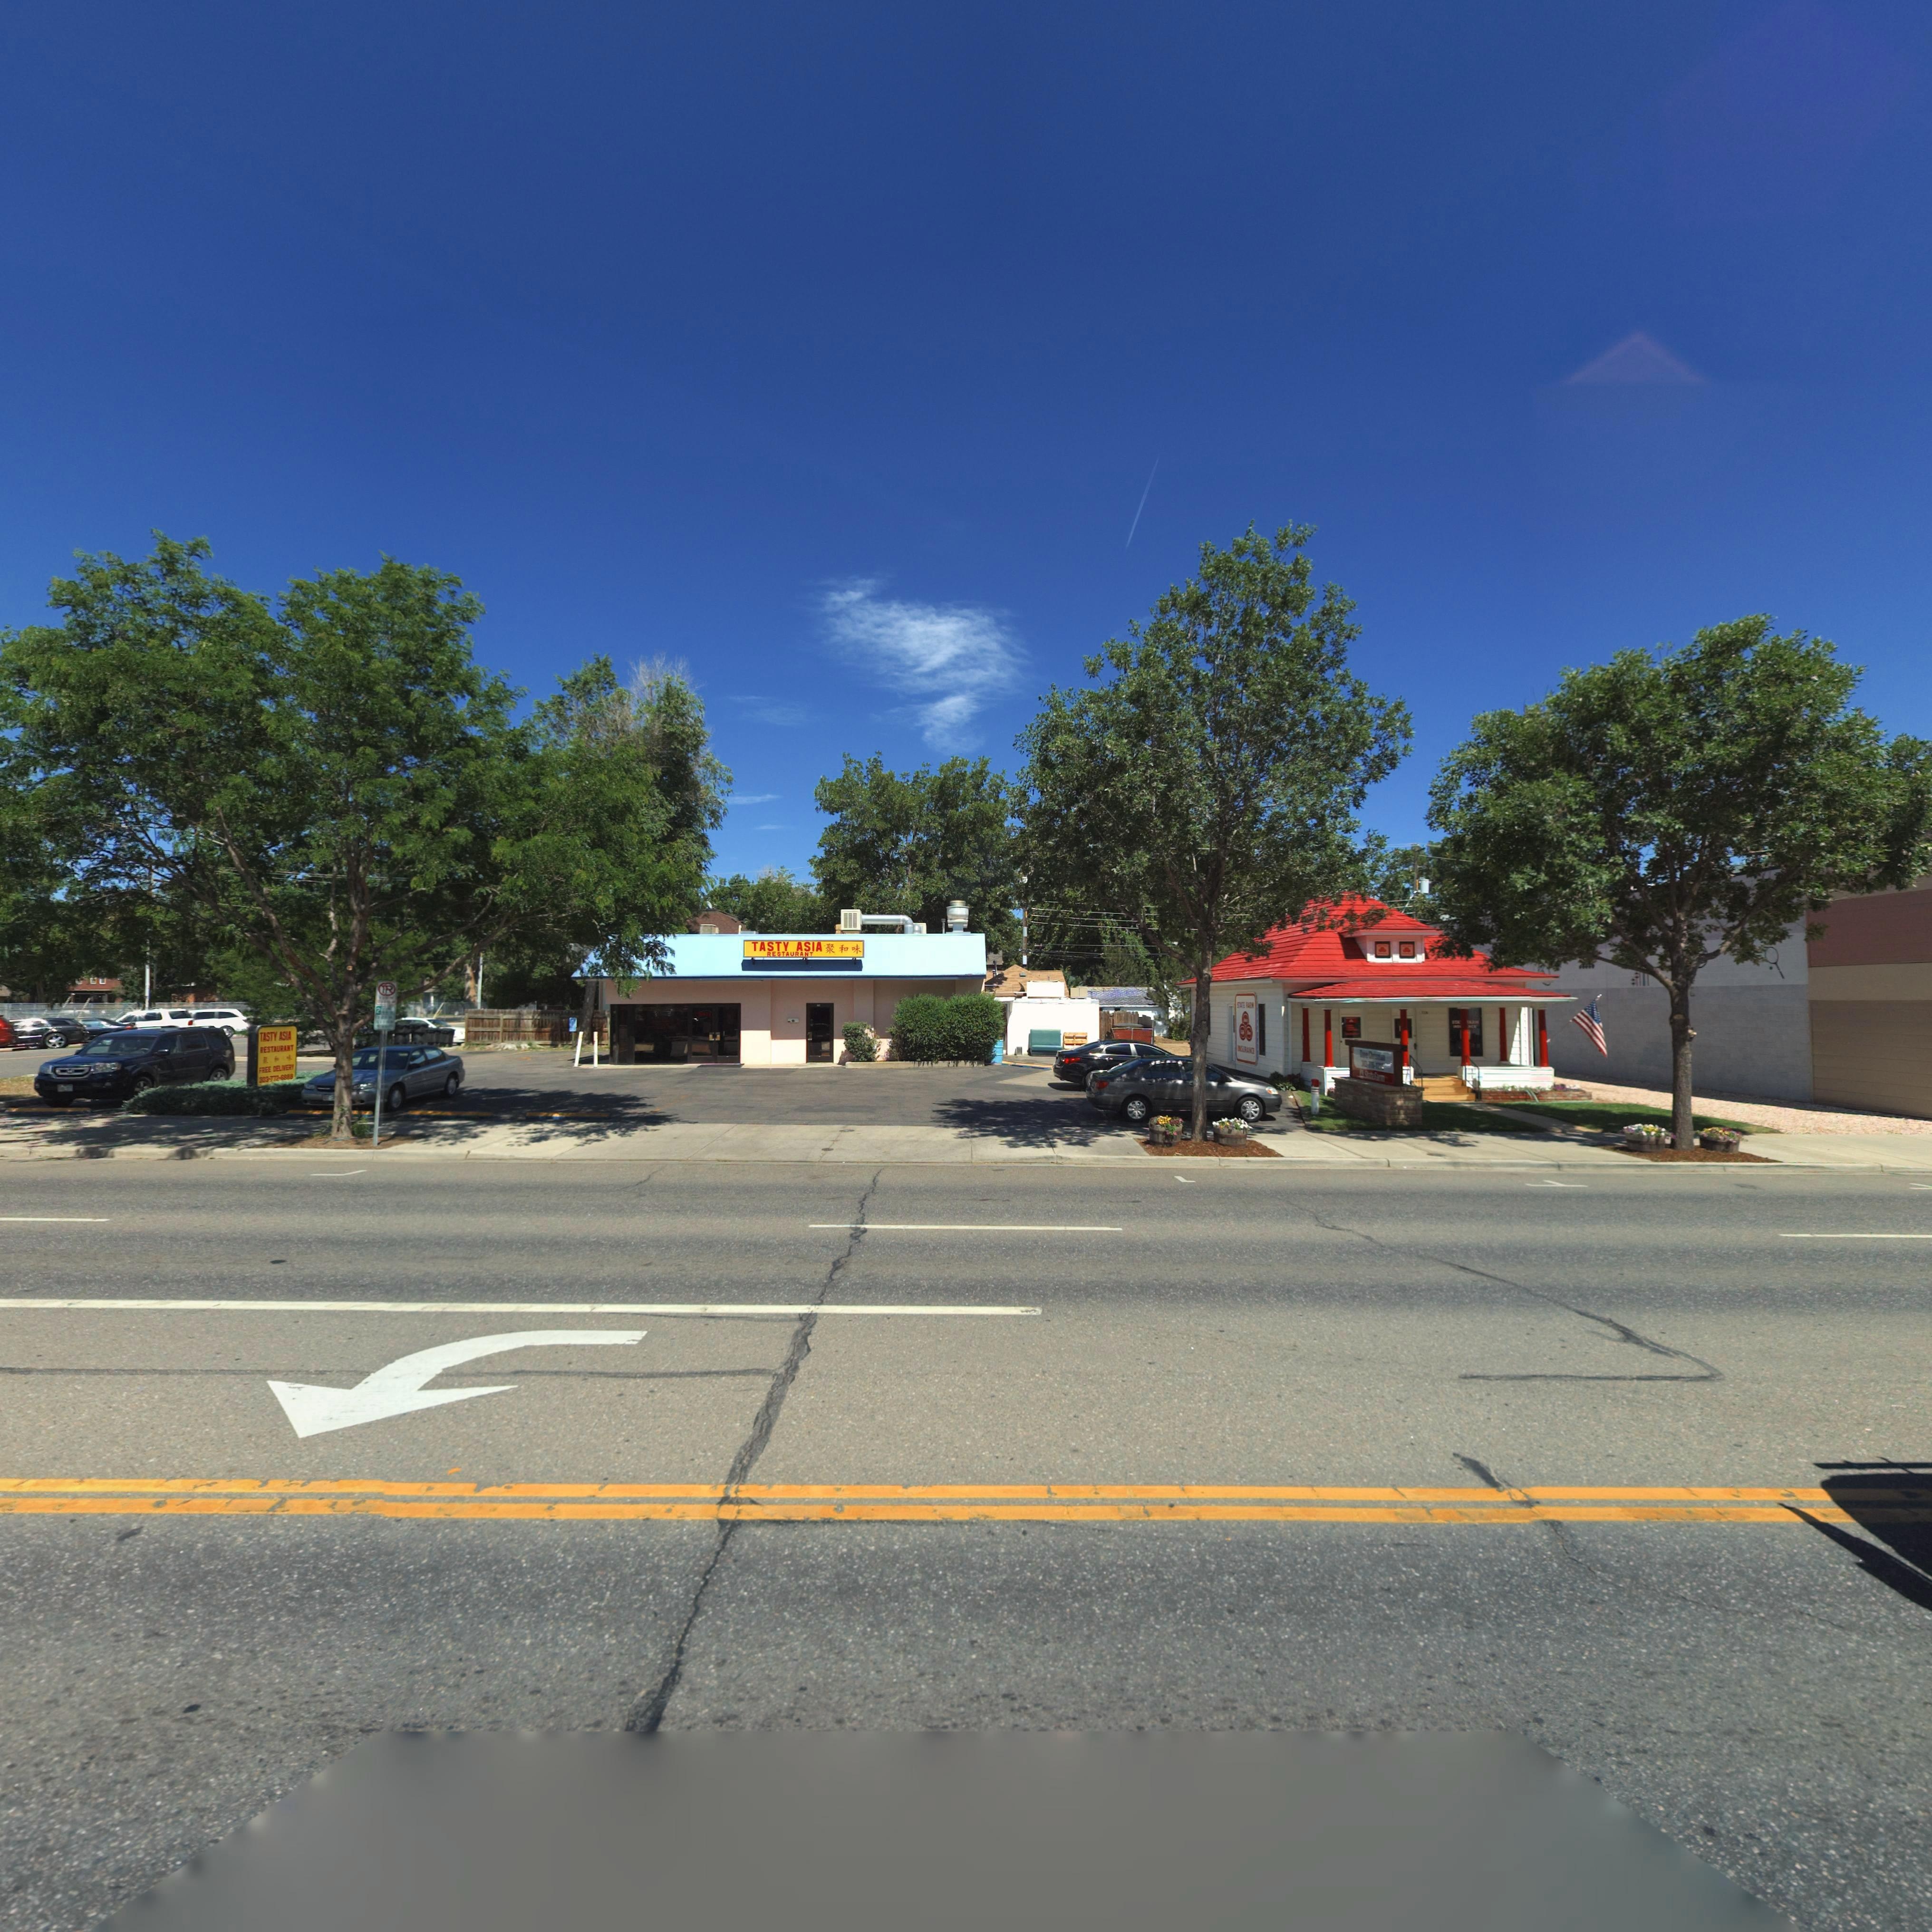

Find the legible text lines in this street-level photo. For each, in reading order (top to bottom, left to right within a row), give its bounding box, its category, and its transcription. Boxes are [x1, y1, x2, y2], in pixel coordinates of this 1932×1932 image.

[751, 941, 822, 952] BusinessName: TASTY ASIA
[766, 951, 813, 956] BusinessName: RESTAURANT
[1236, 1001, 1254, 1009] BusinessName: STATE FARM
[1420, 1010, 1429, 1014] StreetNumber: *2*
[1450, 1020, 1479, 1024] BusinessName: S**** ***M
[259, 1030, 292, 1042] BusinessName: TASTY ASIA
[260, 1044, 294, 1053] BusinessName: RESTAURANT
[1237, 1044, 1255, 1055] BusinessName: INSURANCE
[1364, 1070, 1385, 1082] BusinessName: State Farm